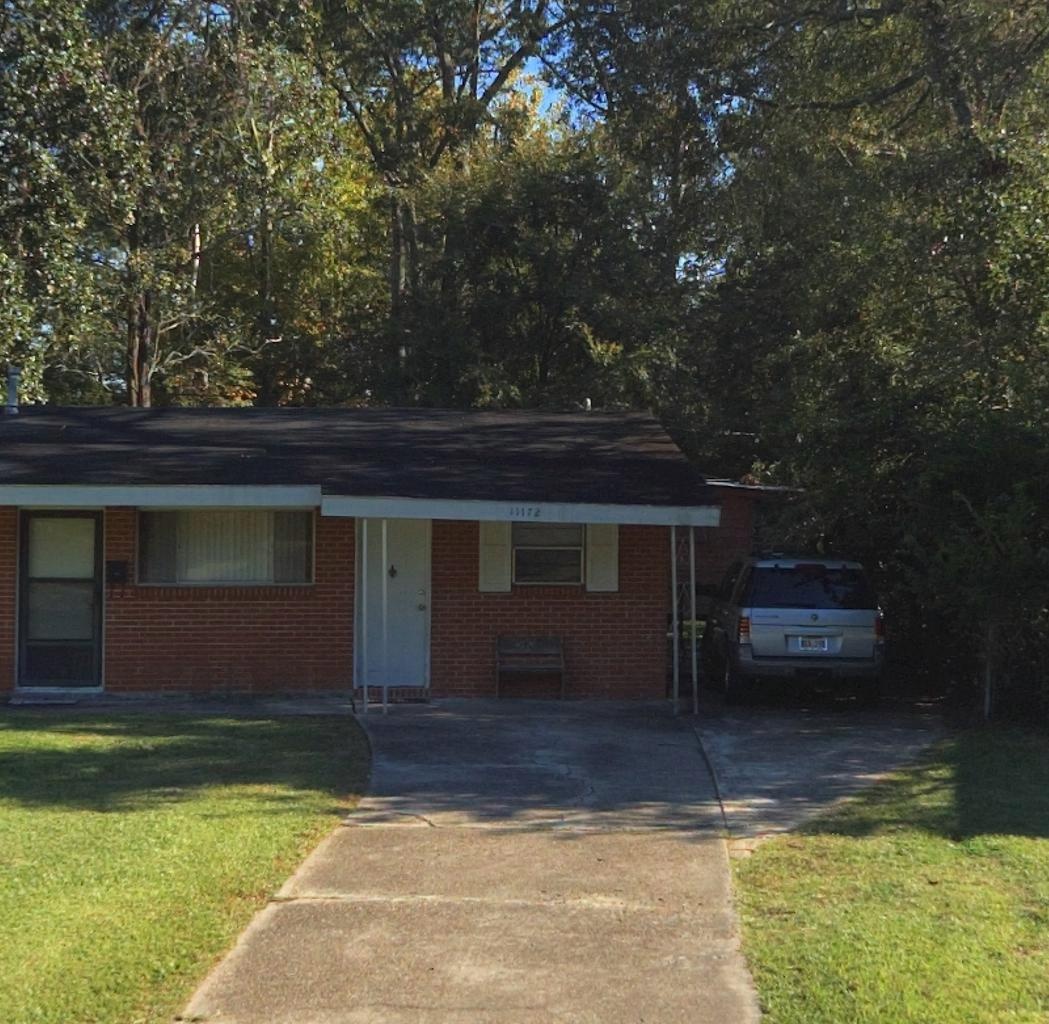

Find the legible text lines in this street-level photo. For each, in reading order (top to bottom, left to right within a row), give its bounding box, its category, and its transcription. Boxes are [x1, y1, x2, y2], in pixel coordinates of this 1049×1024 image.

[509, 506, 541, 518] StreetNumber: 11172